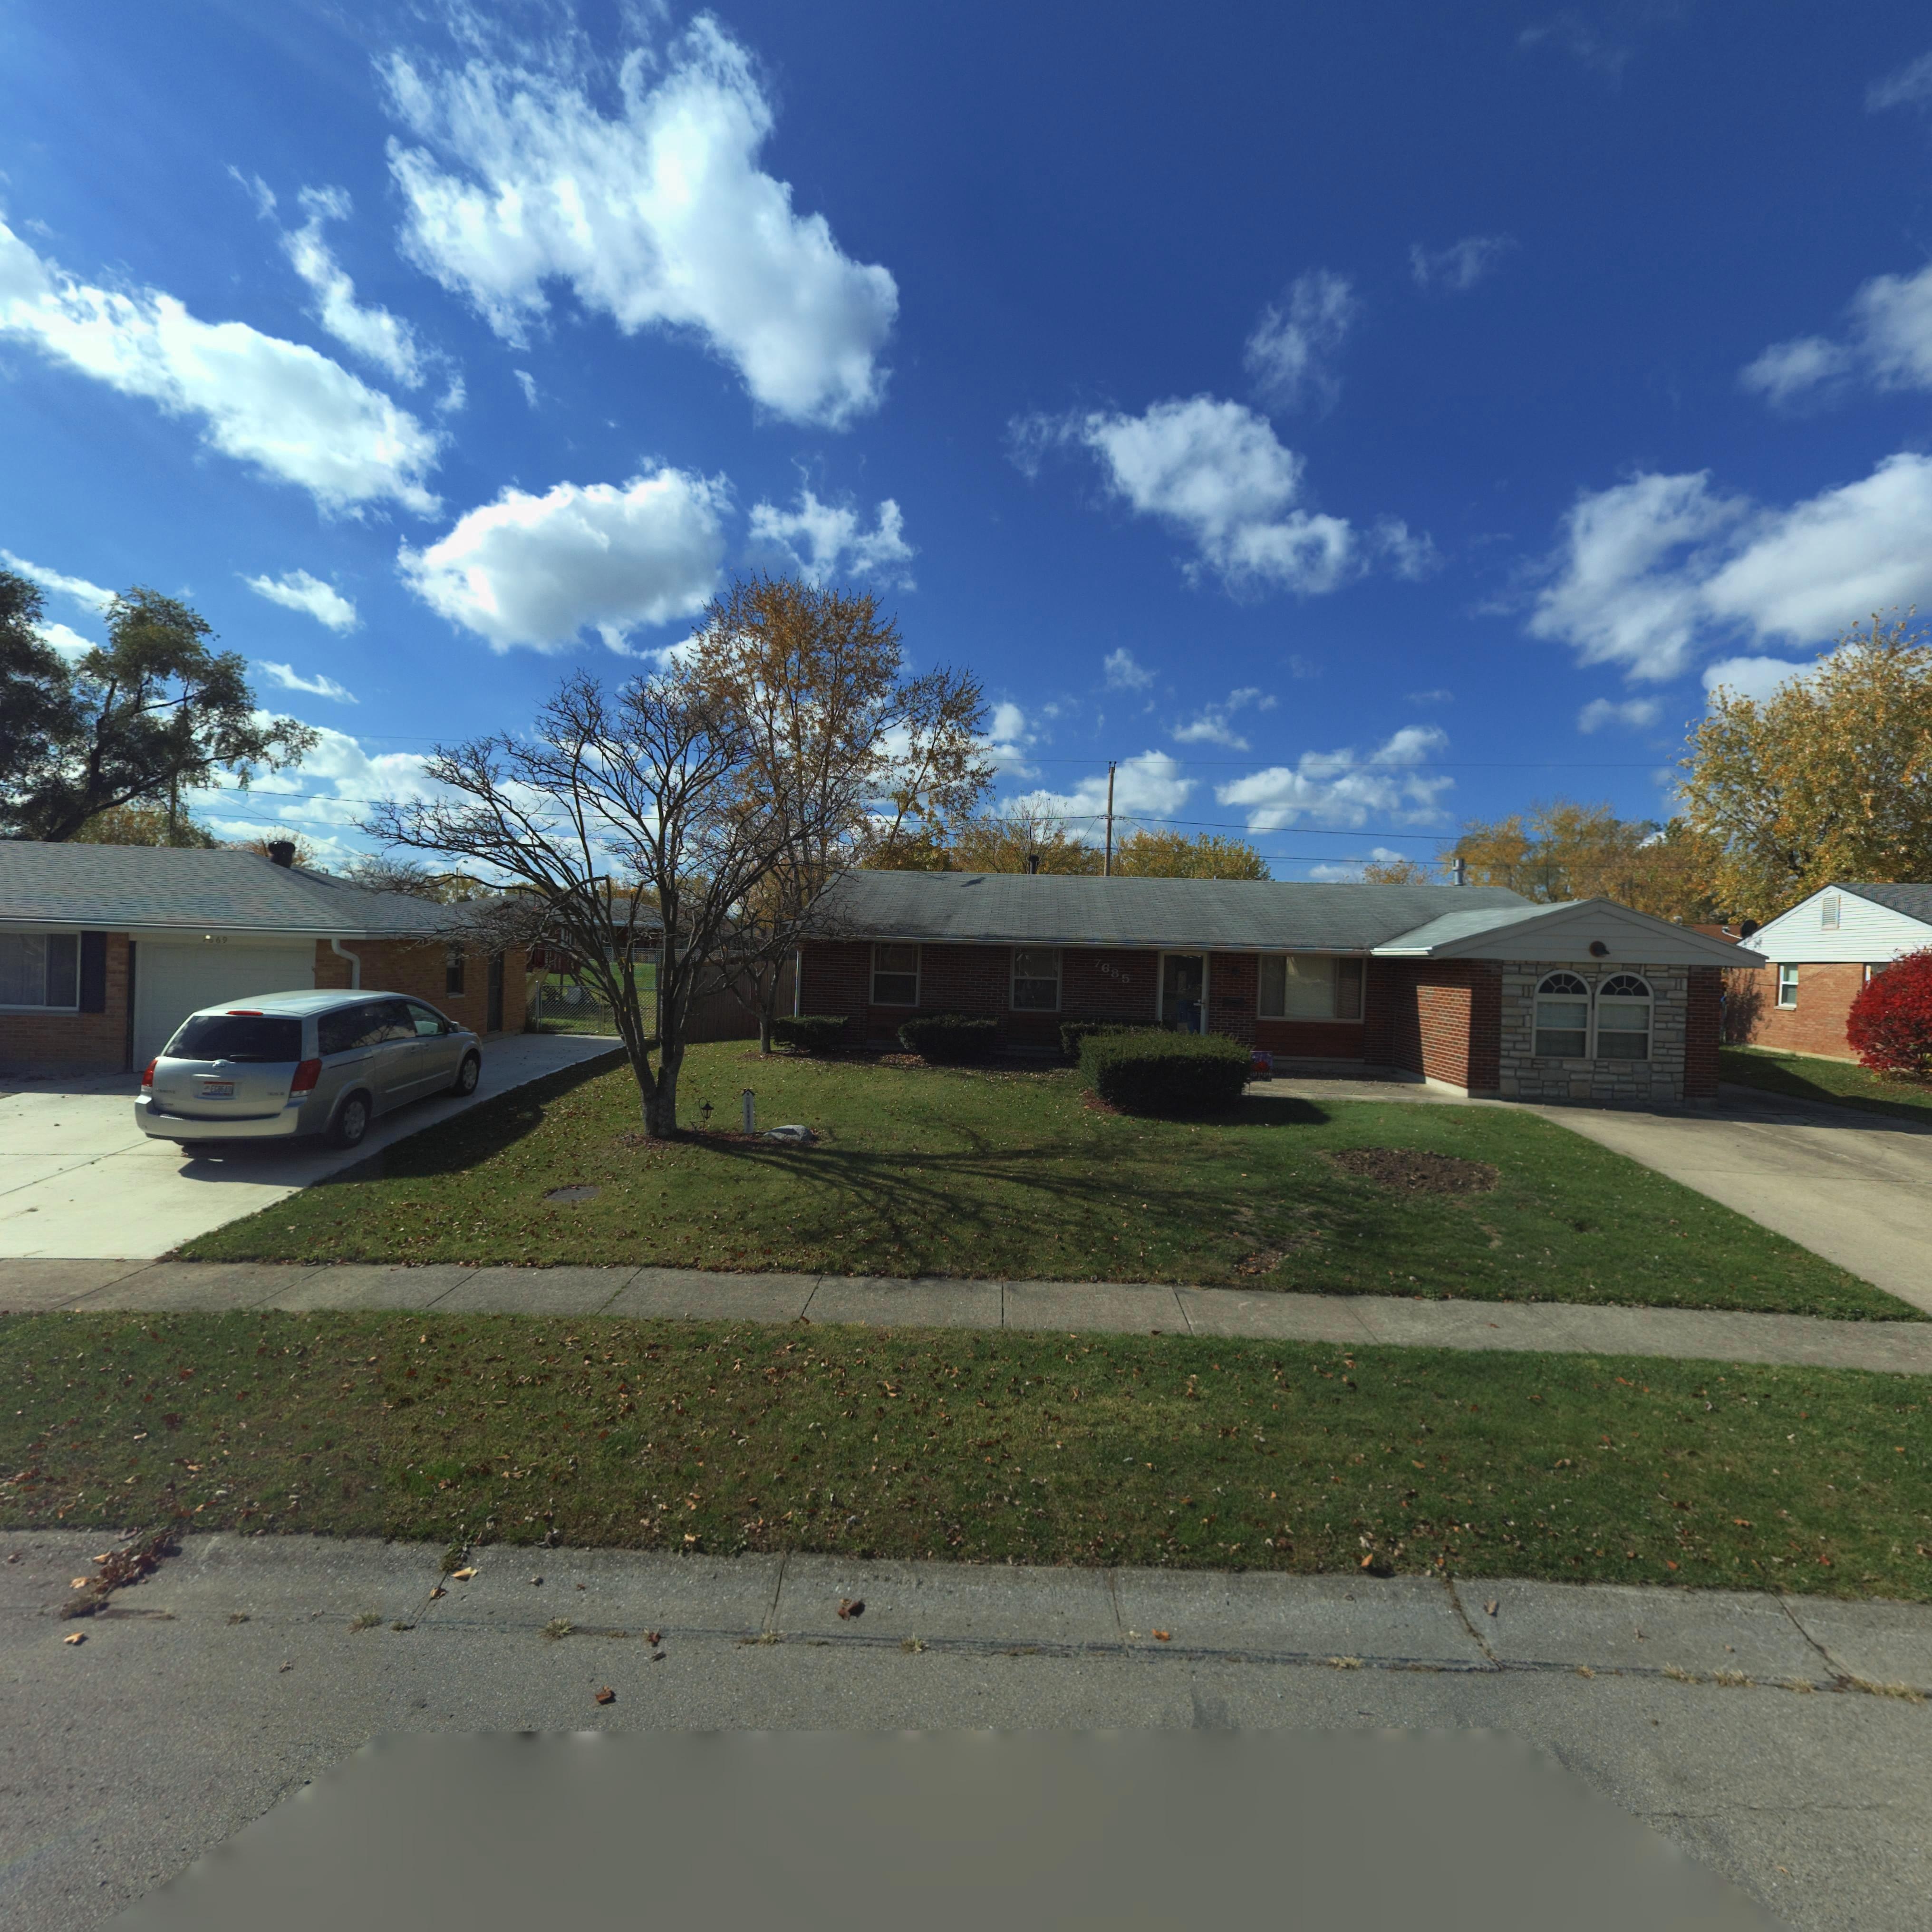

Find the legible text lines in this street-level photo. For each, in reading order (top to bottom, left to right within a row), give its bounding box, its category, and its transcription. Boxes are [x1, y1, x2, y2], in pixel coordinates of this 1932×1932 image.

[214, 935, 229, 945] StreetNumber: 69
[1092, 958, 1131, 985] StreetNumber: 7685